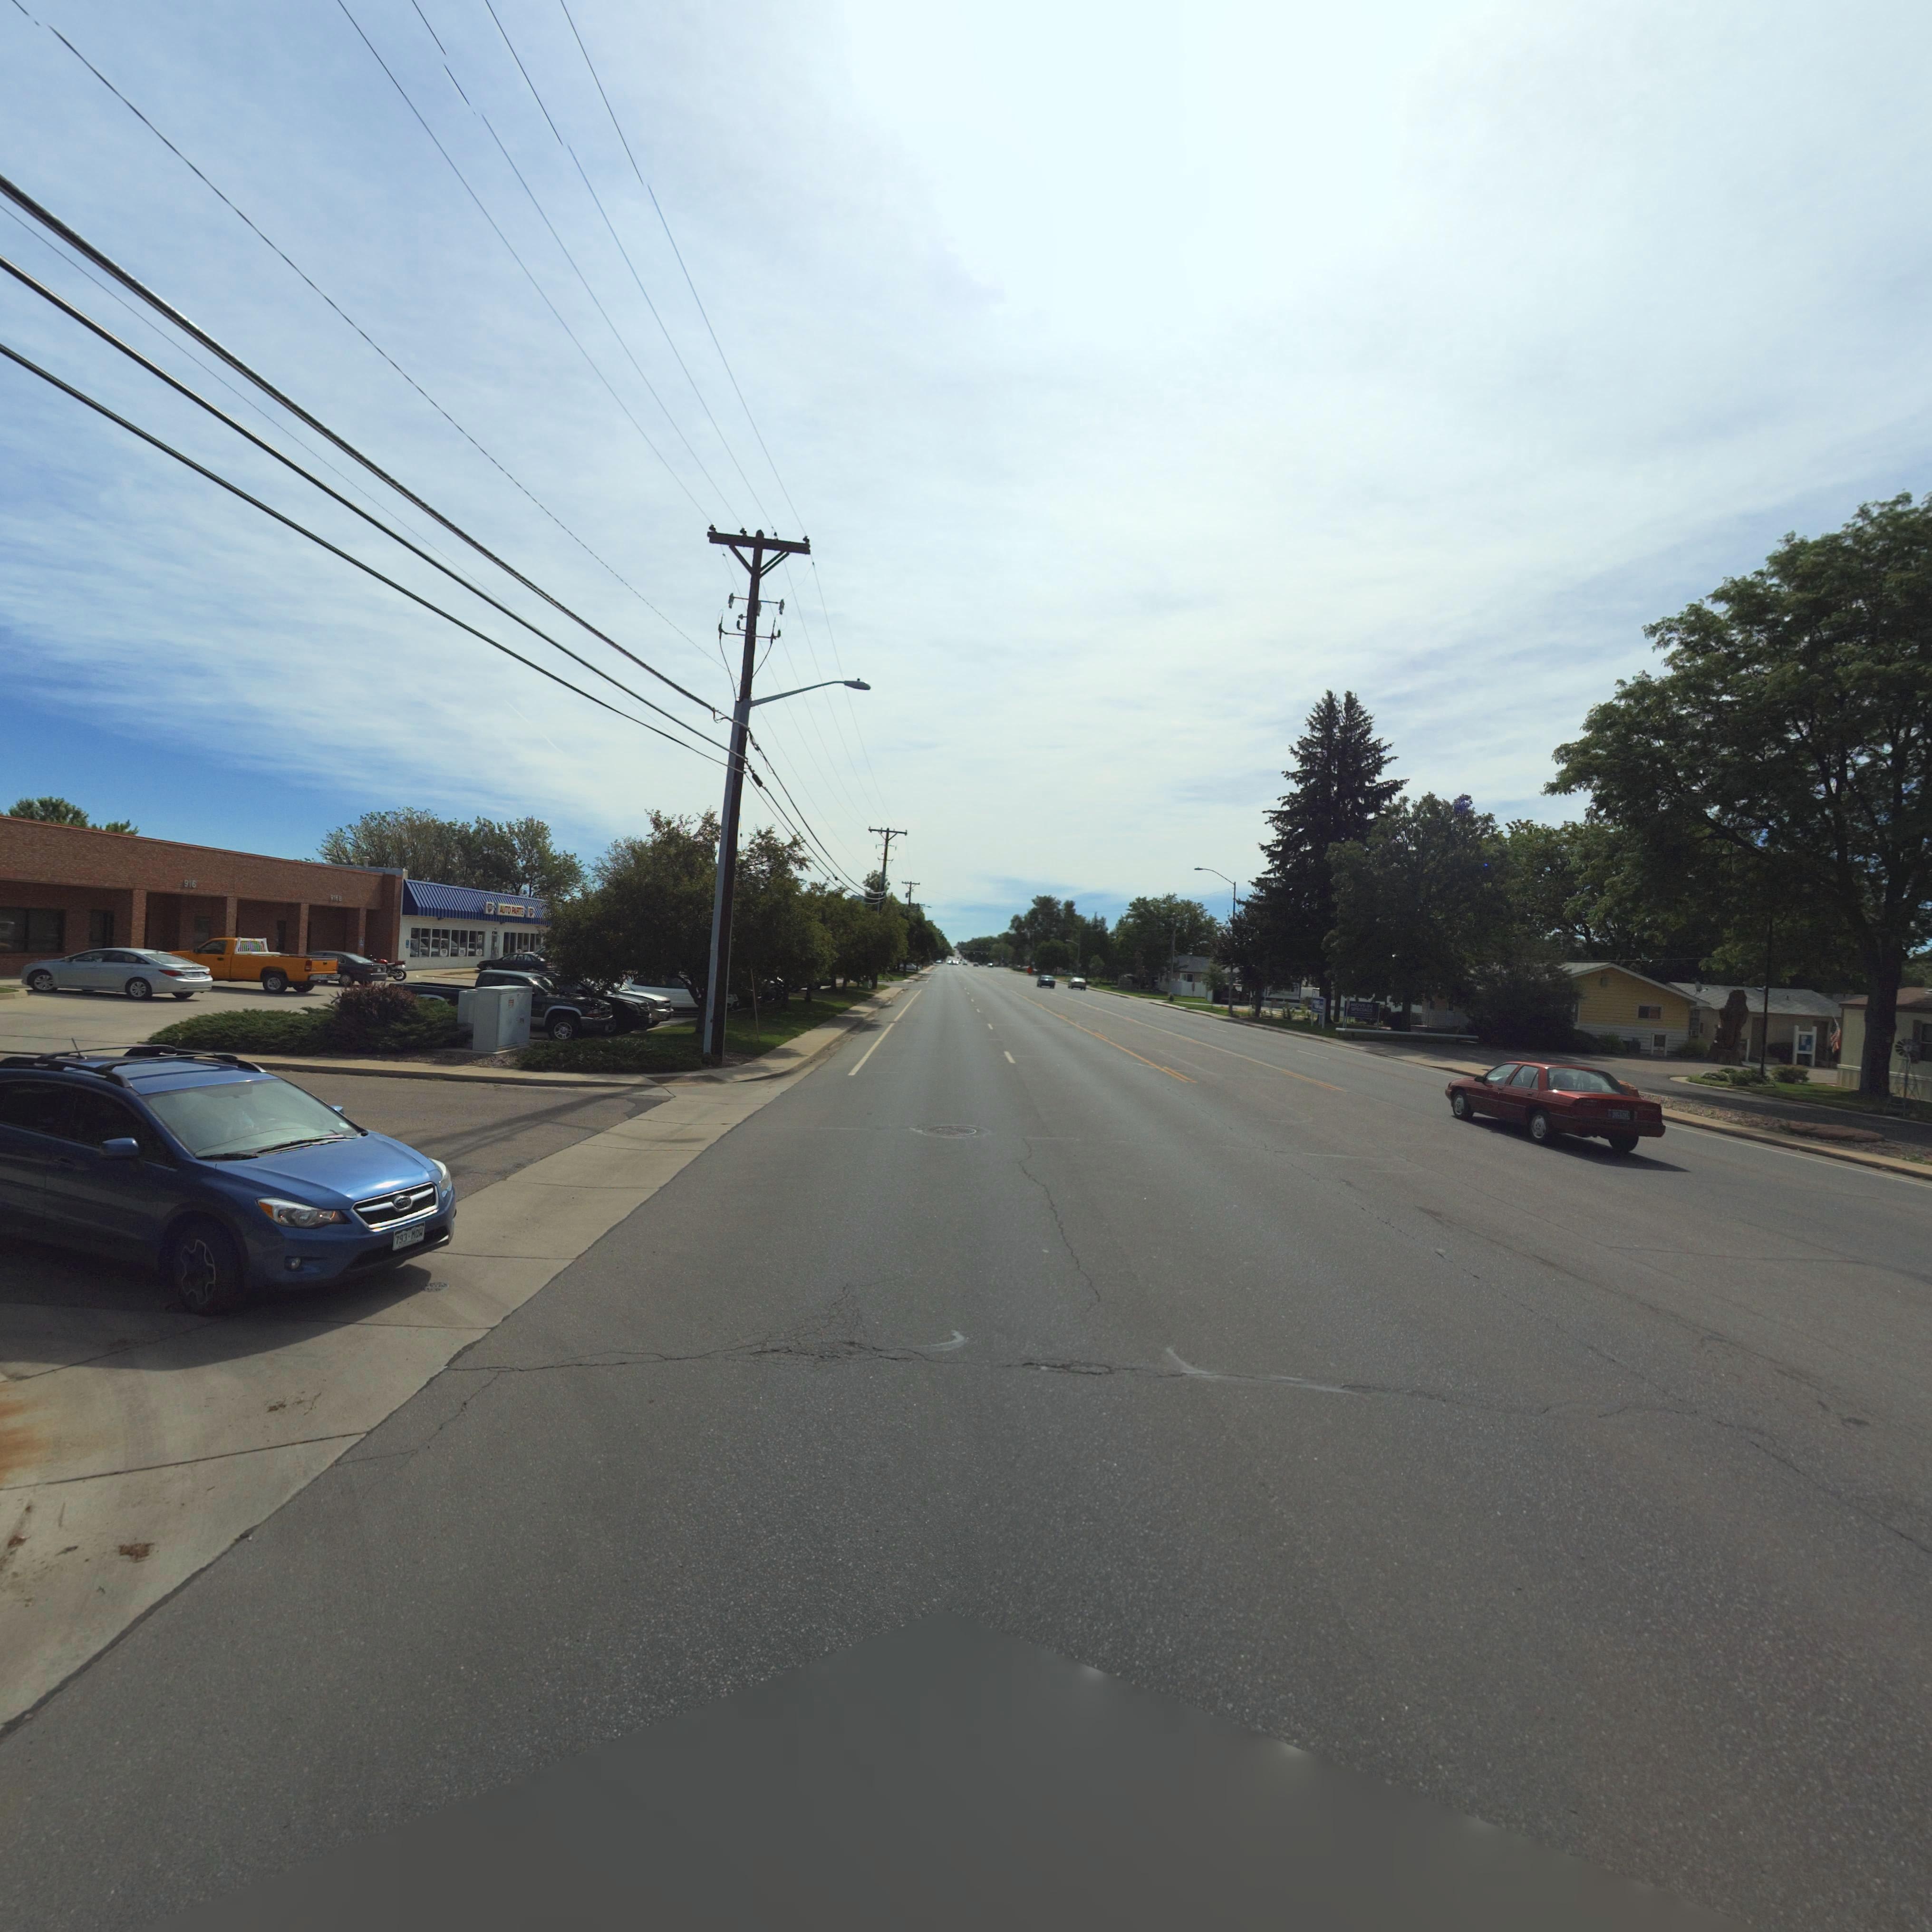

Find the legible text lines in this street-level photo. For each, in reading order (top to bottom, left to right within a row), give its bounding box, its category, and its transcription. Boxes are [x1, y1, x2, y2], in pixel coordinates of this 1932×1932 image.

[184, 879, 196, 889] StreetNumber: 916
[329, 894, 342, 902] StreetNumber: 91*B
[498, 905, 524, 916] BusinessName: AUTO PARTS